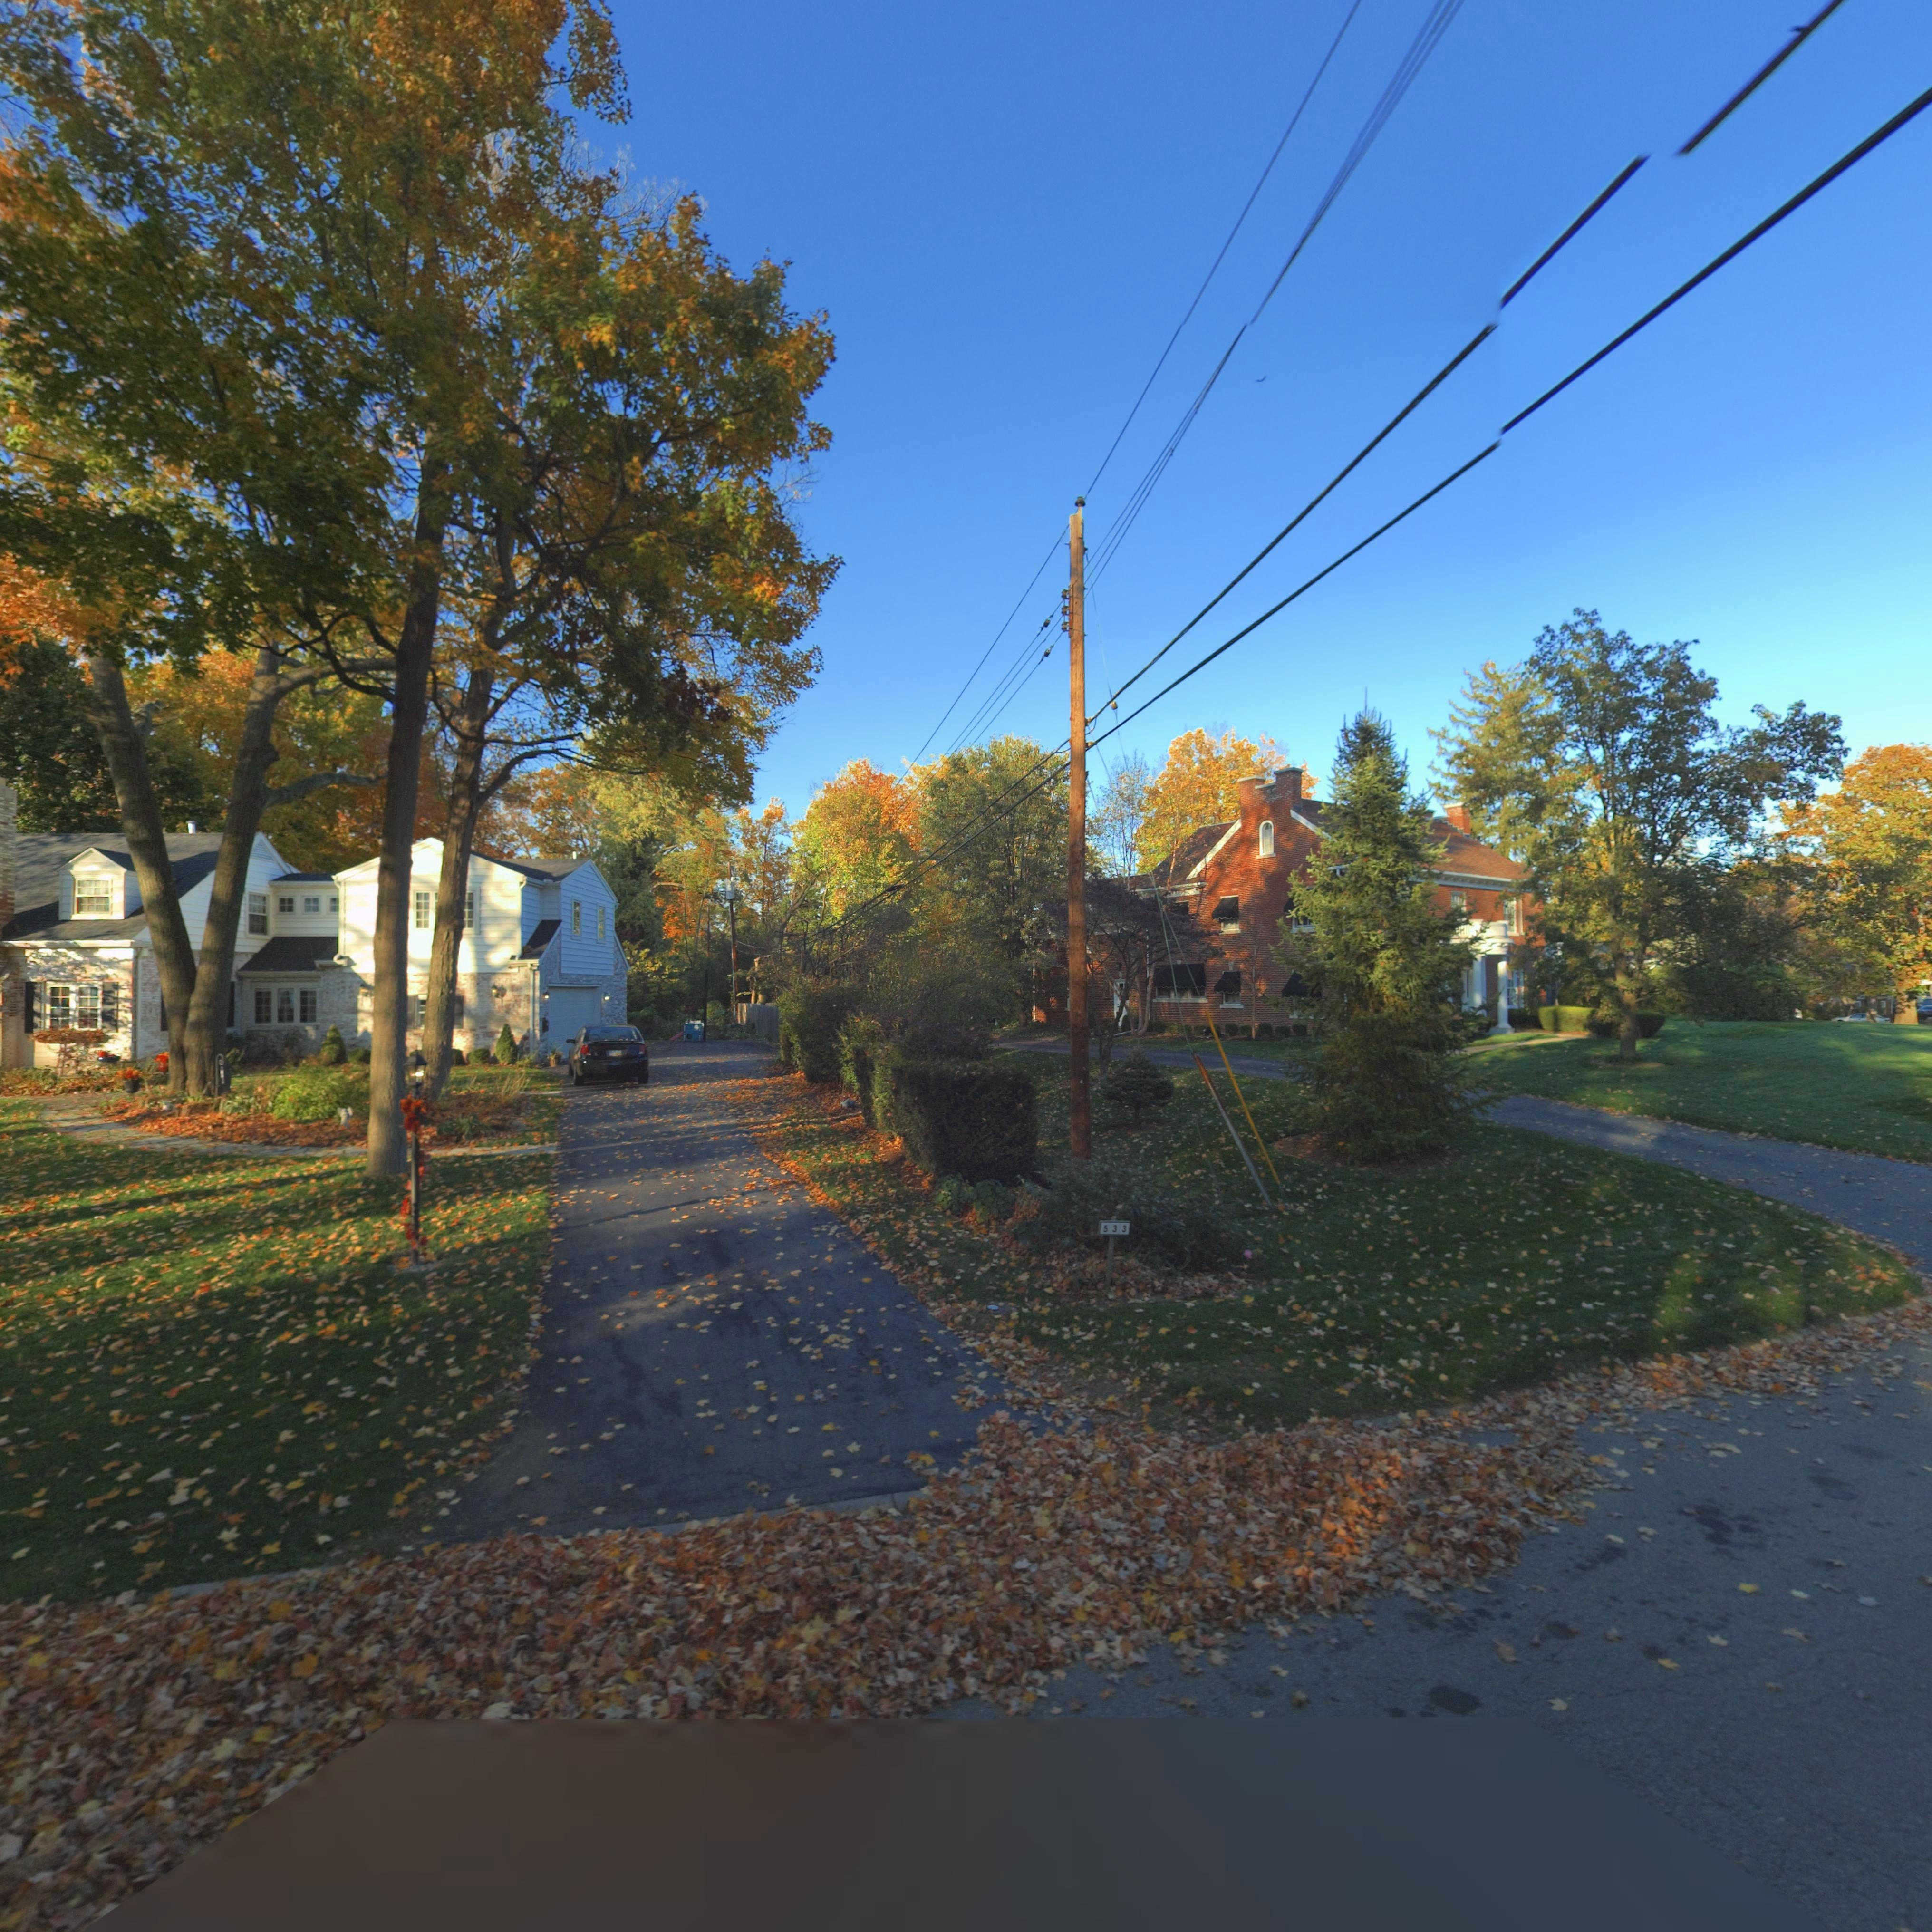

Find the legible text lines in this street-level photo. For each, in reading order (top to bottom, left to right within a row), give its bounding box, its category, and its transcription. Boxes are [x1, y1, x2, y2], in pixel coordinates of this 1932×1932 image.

[1102, 1224, 1128, 1233] StreetNumber: 533